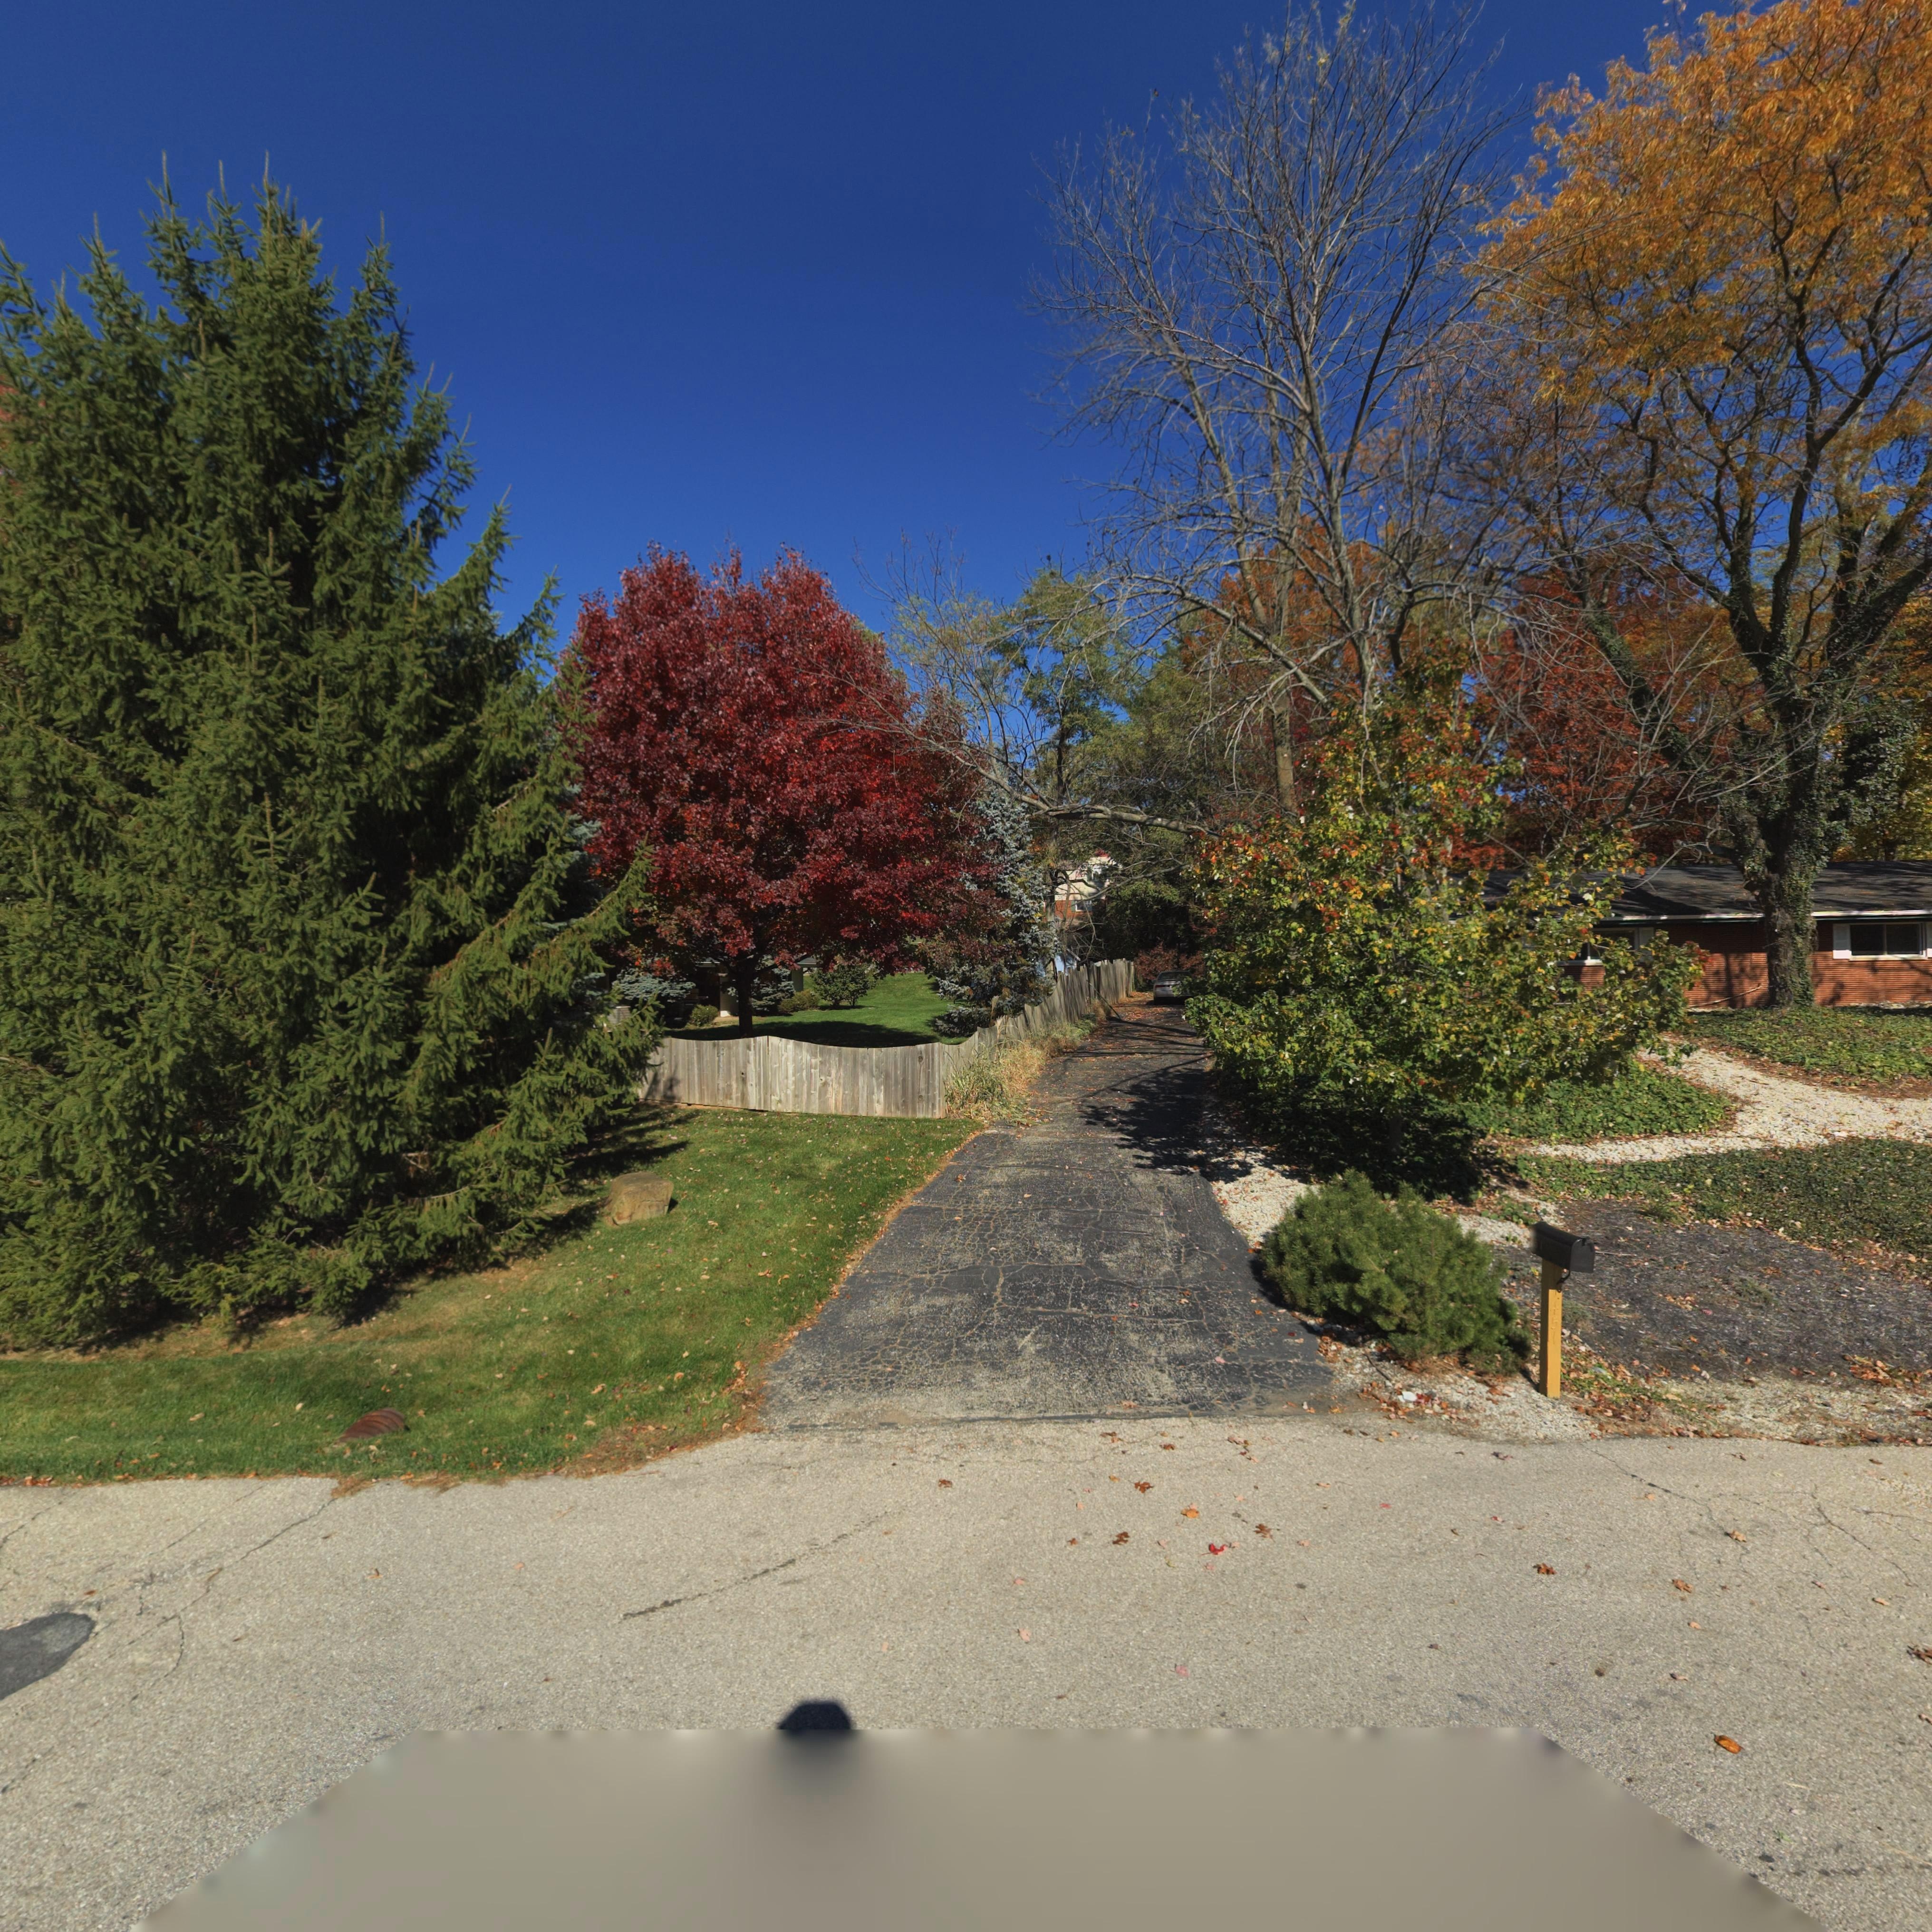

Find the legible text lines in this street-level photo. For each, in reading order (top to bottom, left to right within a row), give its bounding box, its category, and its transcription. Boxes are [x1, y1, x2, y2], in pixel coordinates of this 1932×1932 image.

[1548, 1301, 1560, 1346] StreetNumber: 451